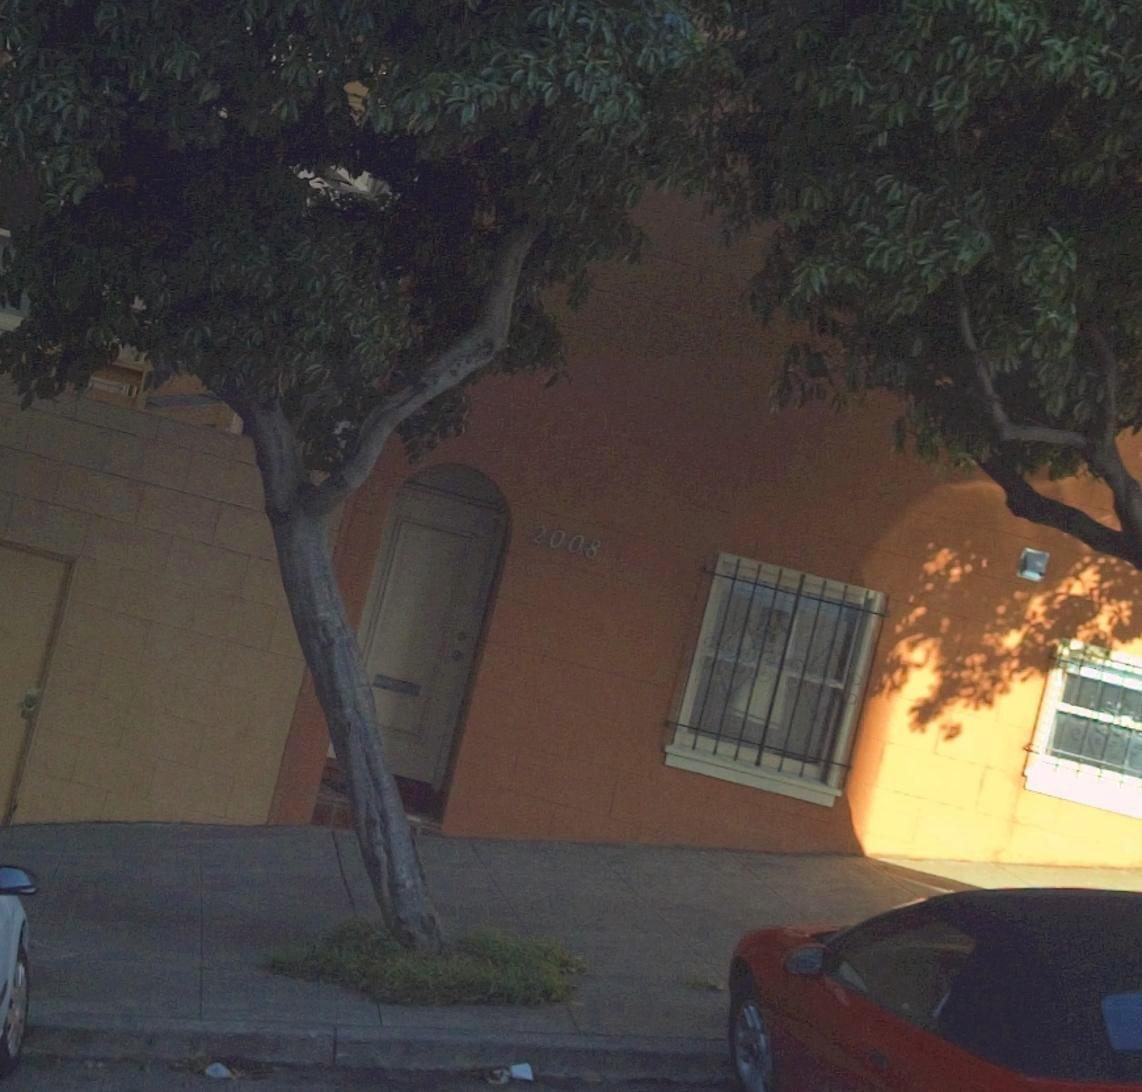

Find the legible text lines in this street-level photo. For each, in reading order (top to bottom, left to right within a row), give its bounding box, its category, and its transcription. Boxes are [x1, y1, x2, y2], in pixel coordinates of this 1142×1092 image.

[525, 522, 605, 562] StreetNumber: 2008